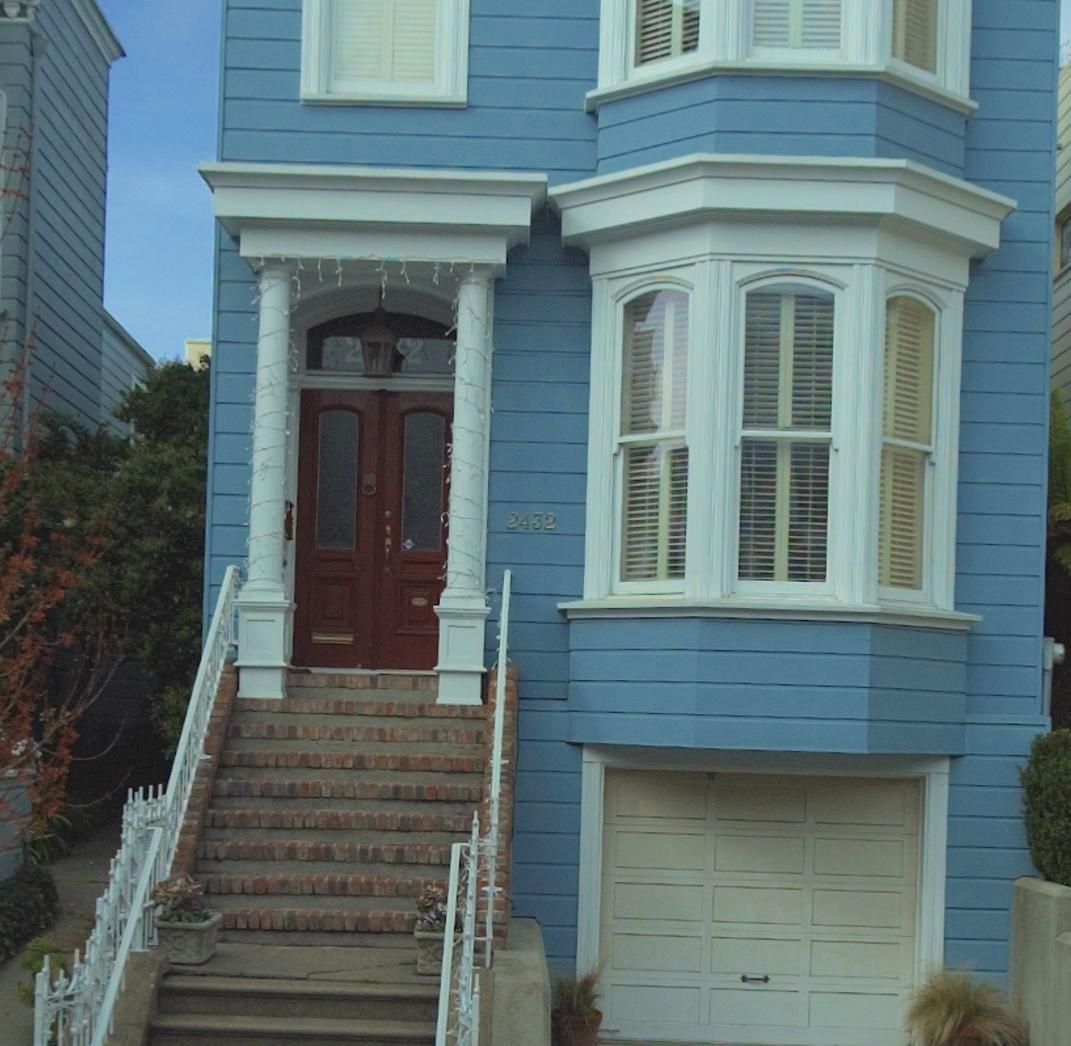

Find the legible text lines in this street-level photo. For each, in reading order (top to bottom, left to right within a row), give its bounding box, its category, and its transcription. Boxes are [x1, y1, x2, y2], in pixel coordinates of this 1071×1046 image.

[504, 510, 557, 532] StreetNumber: 2432